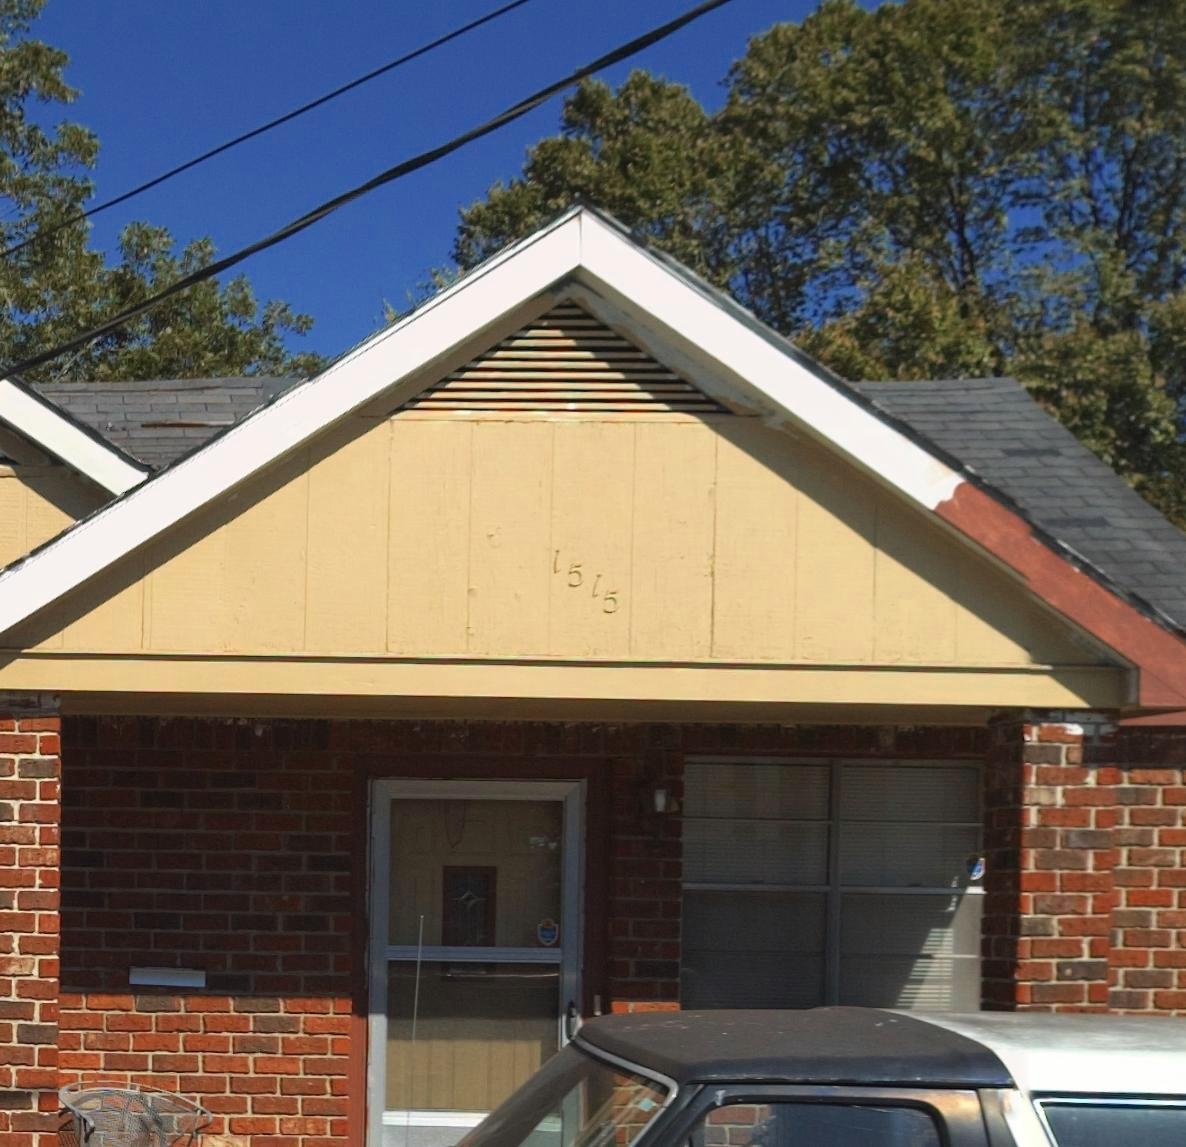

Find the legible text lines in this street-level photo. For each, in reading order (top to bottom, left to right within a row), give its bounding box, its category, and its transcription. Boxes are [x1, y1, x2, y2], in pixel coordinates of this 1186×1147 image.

[549, 546, 624, 616] StreetNumber: 1515